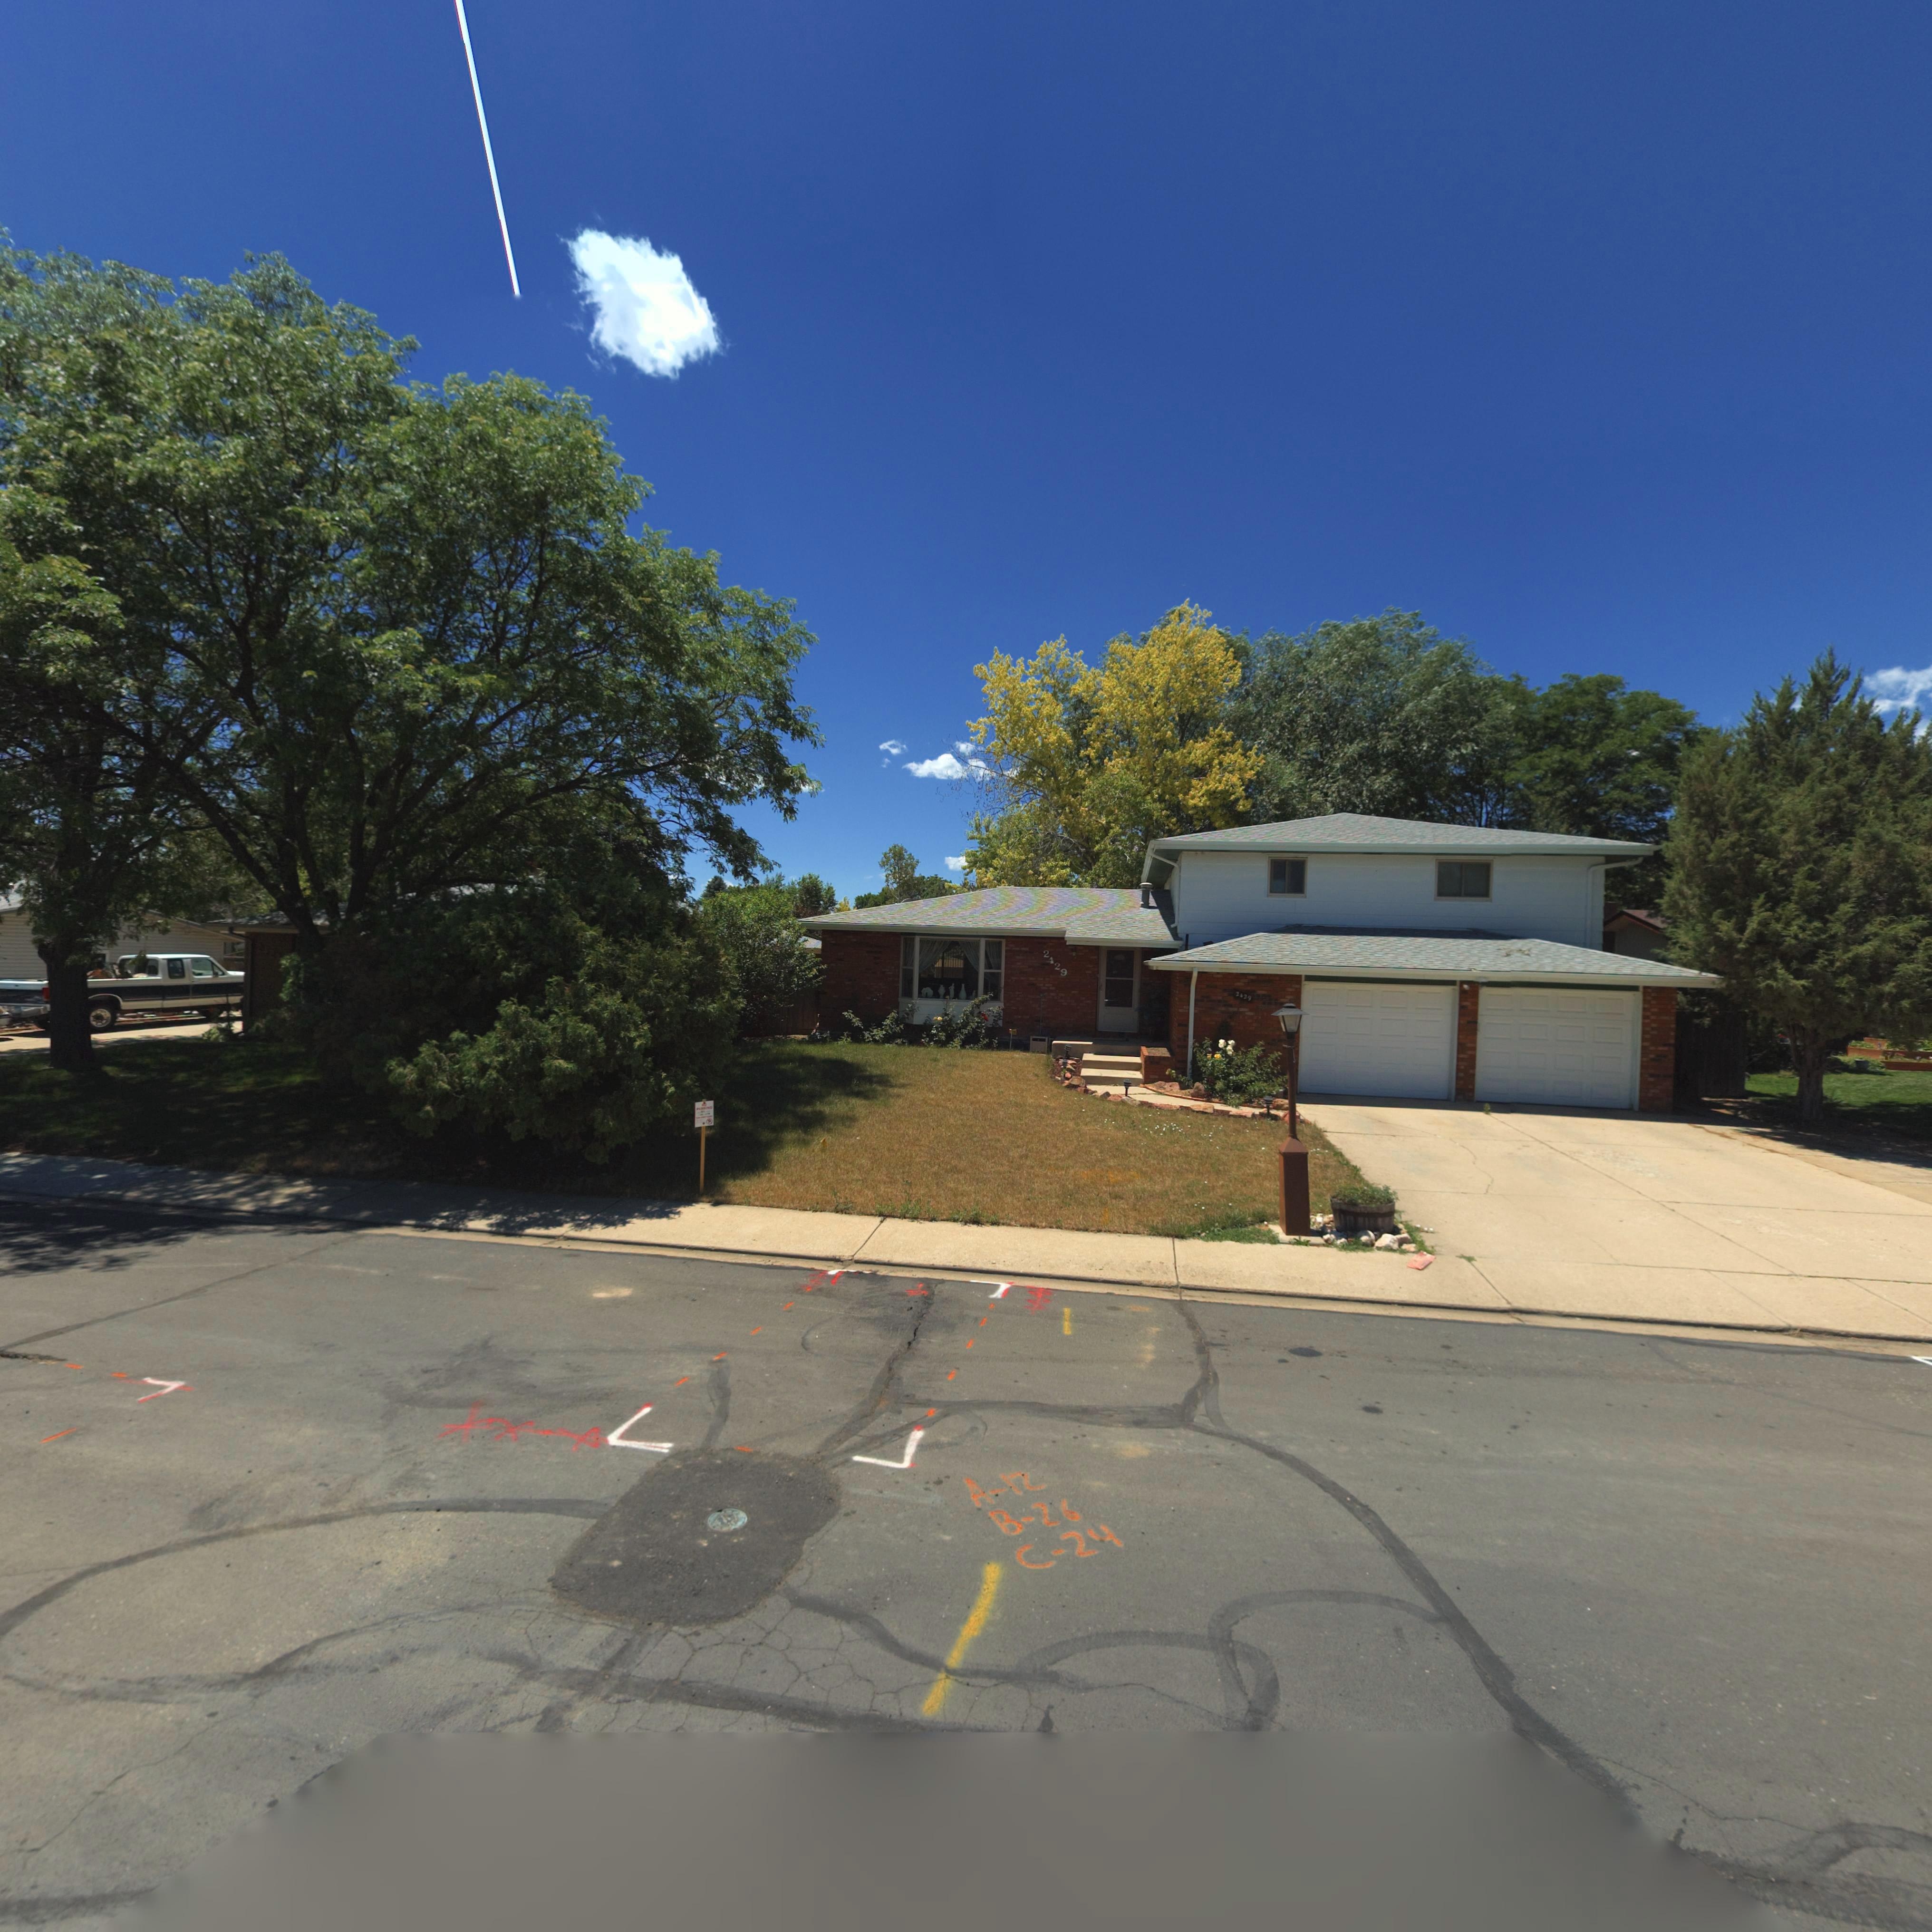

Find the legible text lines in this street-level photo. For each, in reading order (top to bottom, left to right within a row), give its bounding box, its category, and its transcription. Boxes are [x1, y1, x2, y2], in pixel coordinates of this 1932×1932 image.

[1043, 949, 1067, 977] StreetNumber: 2429
[1234, 990, 1252, 1002] StreetNumber: 2429